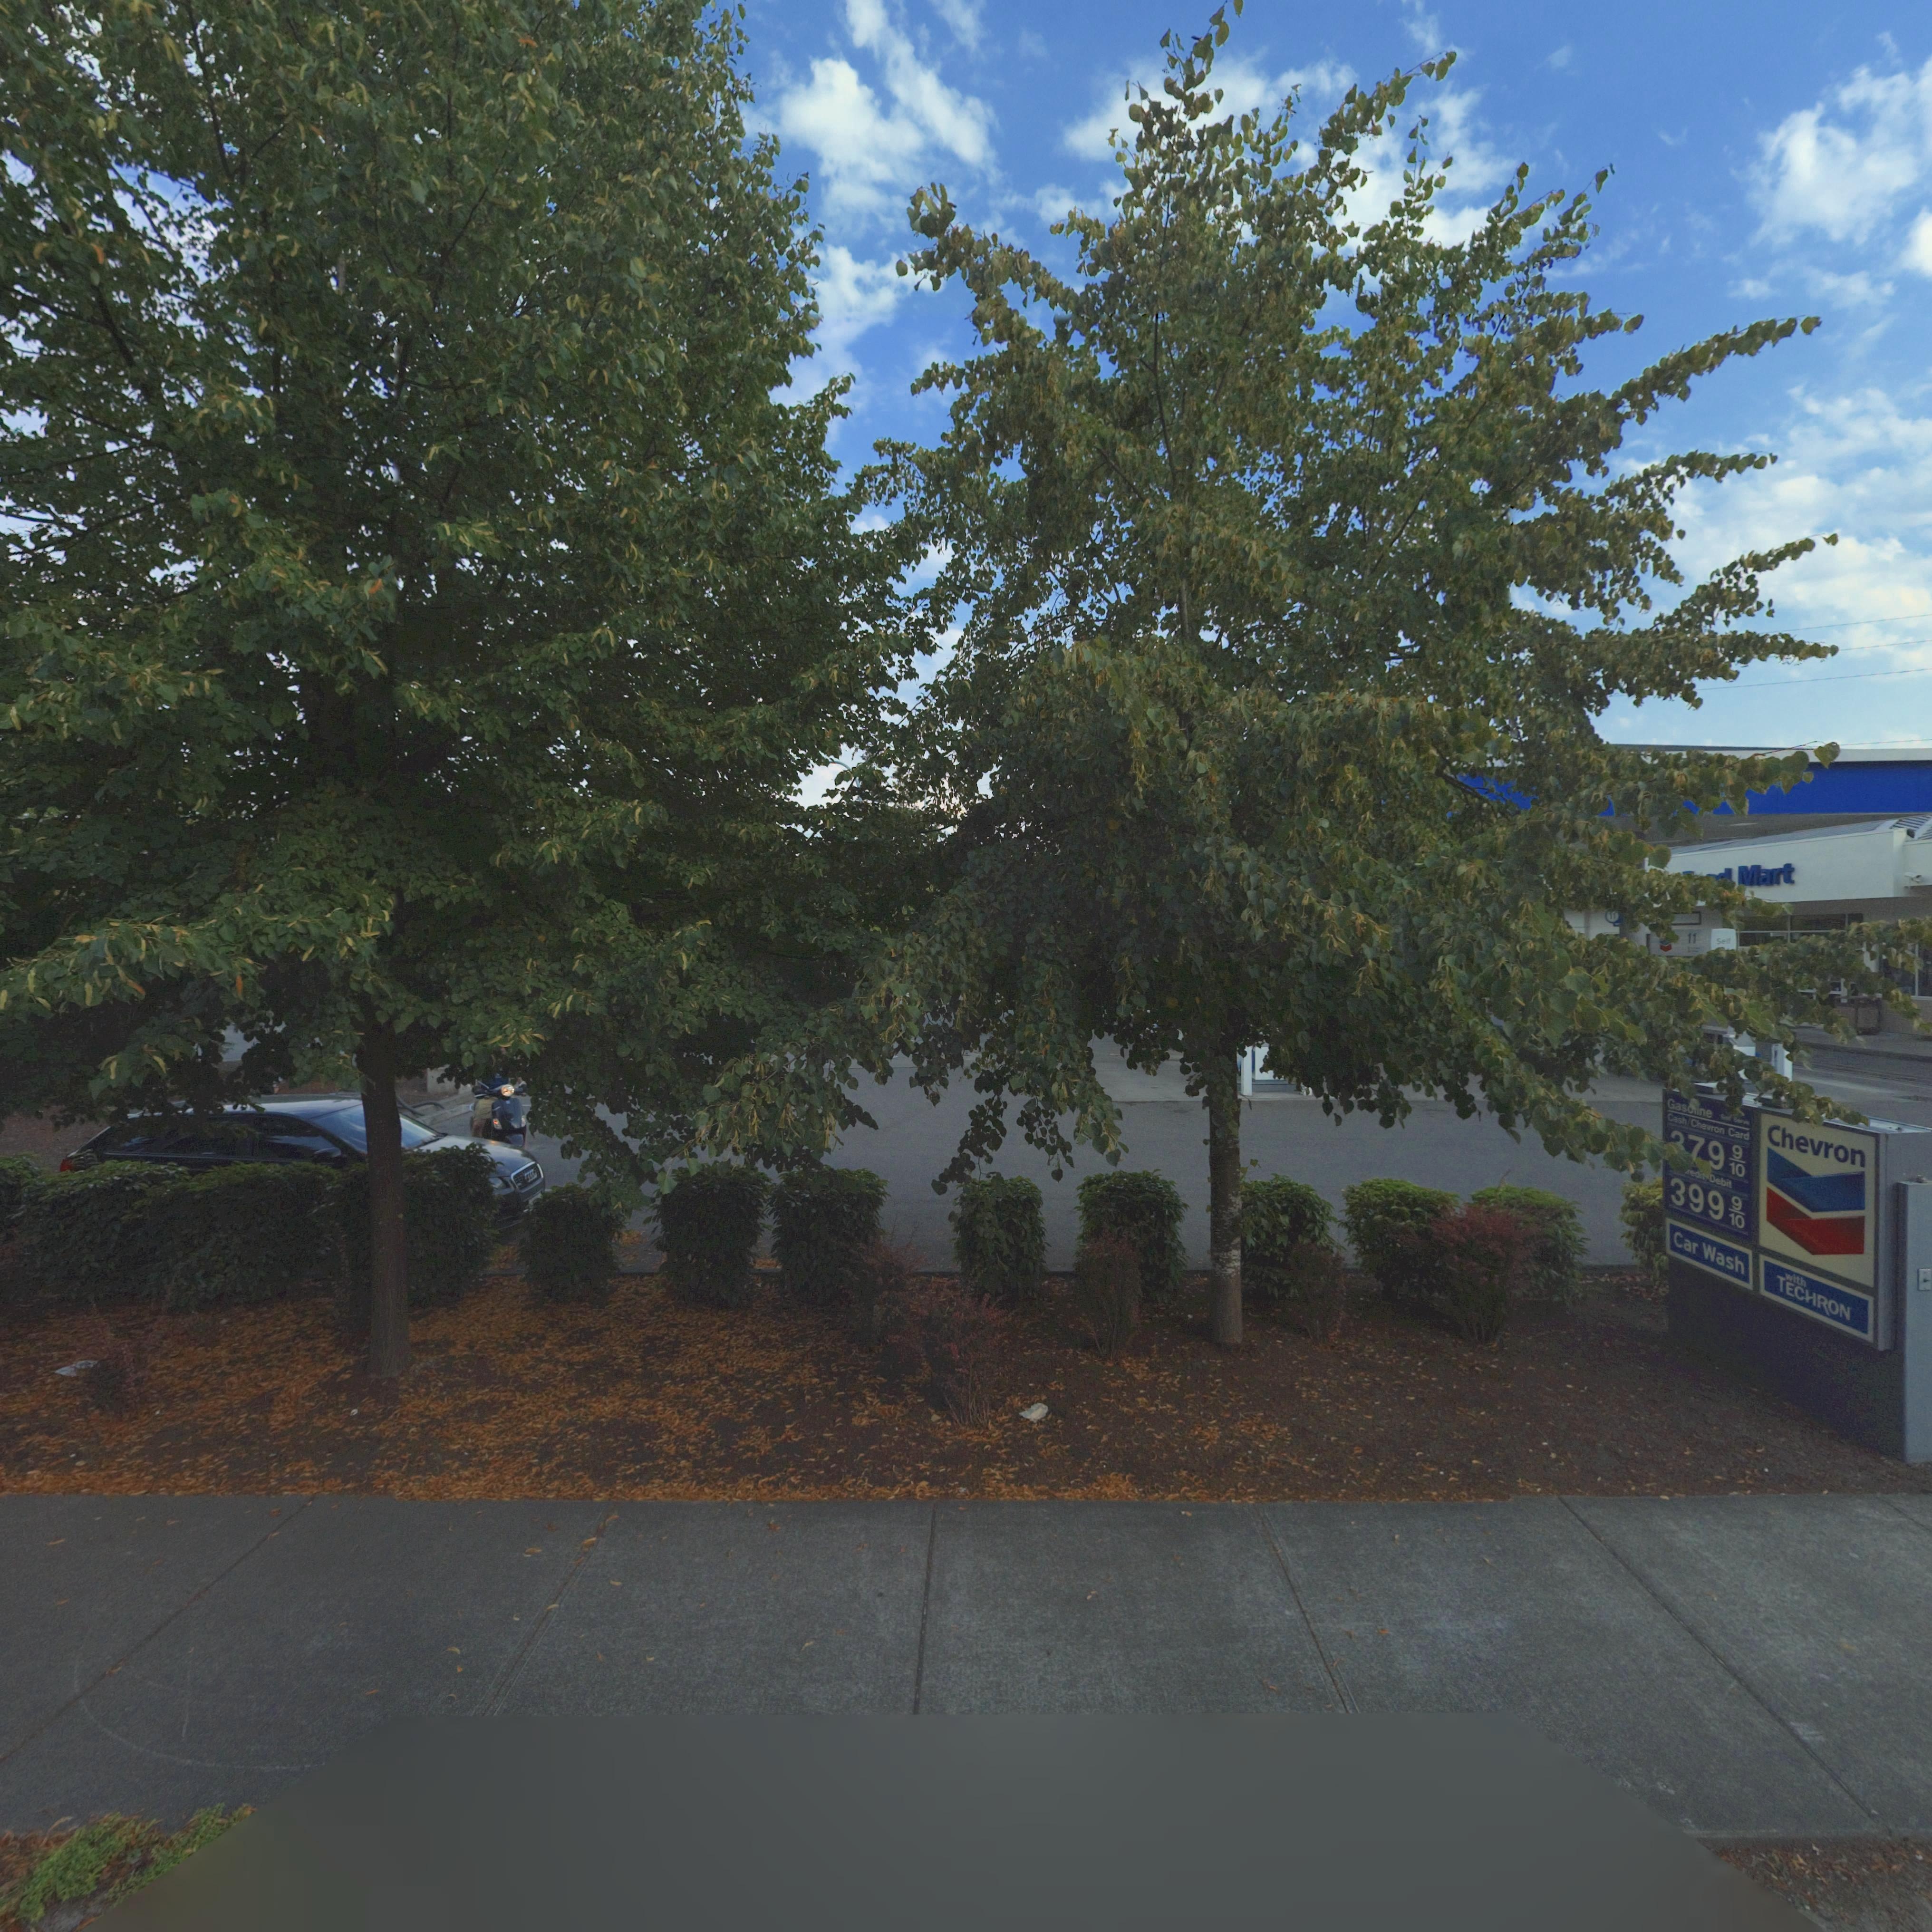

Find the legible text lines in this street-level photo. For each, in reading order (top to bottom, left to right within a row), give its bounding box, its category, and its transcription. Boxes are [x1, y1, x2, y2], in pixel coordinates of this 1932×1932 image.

[1737, 861, 1797, 887] BusinessName: Mart